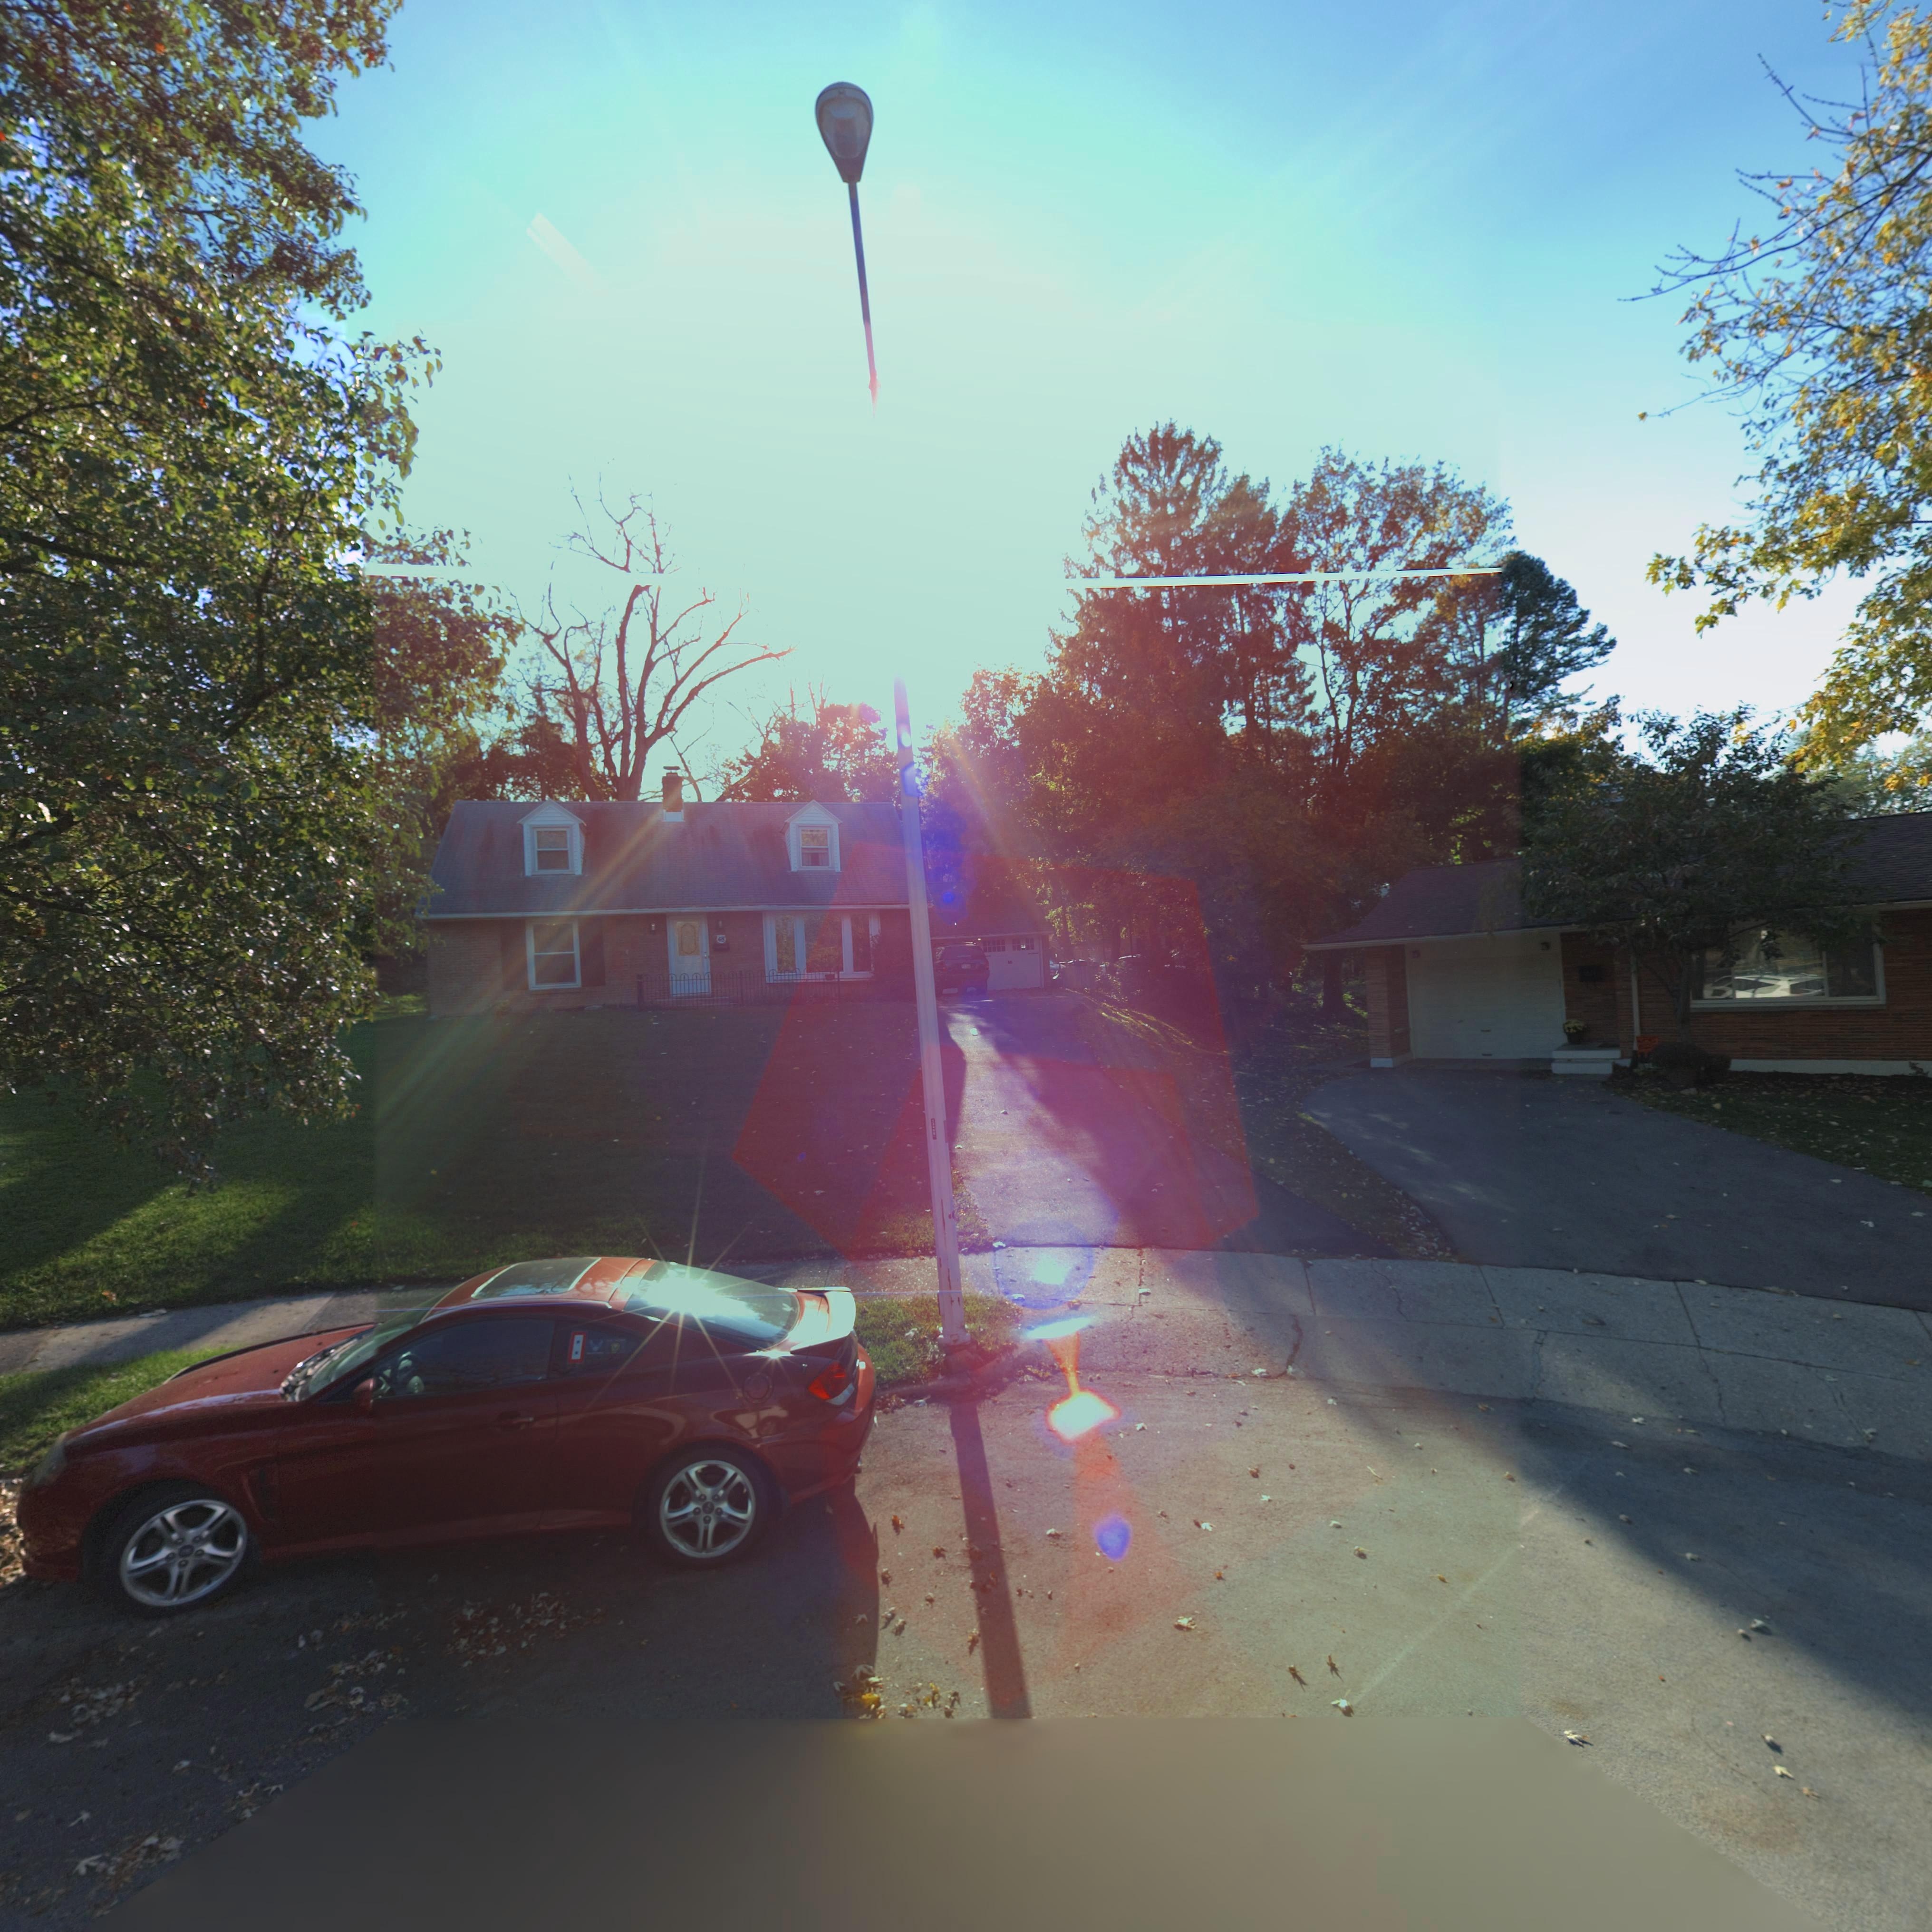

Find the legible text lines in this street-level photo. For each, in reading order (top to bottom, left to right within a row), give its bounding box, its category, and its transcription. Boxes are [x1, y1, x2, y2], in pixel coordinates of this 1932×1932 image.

[716, 936, 725, 942] StreetNumber: 48